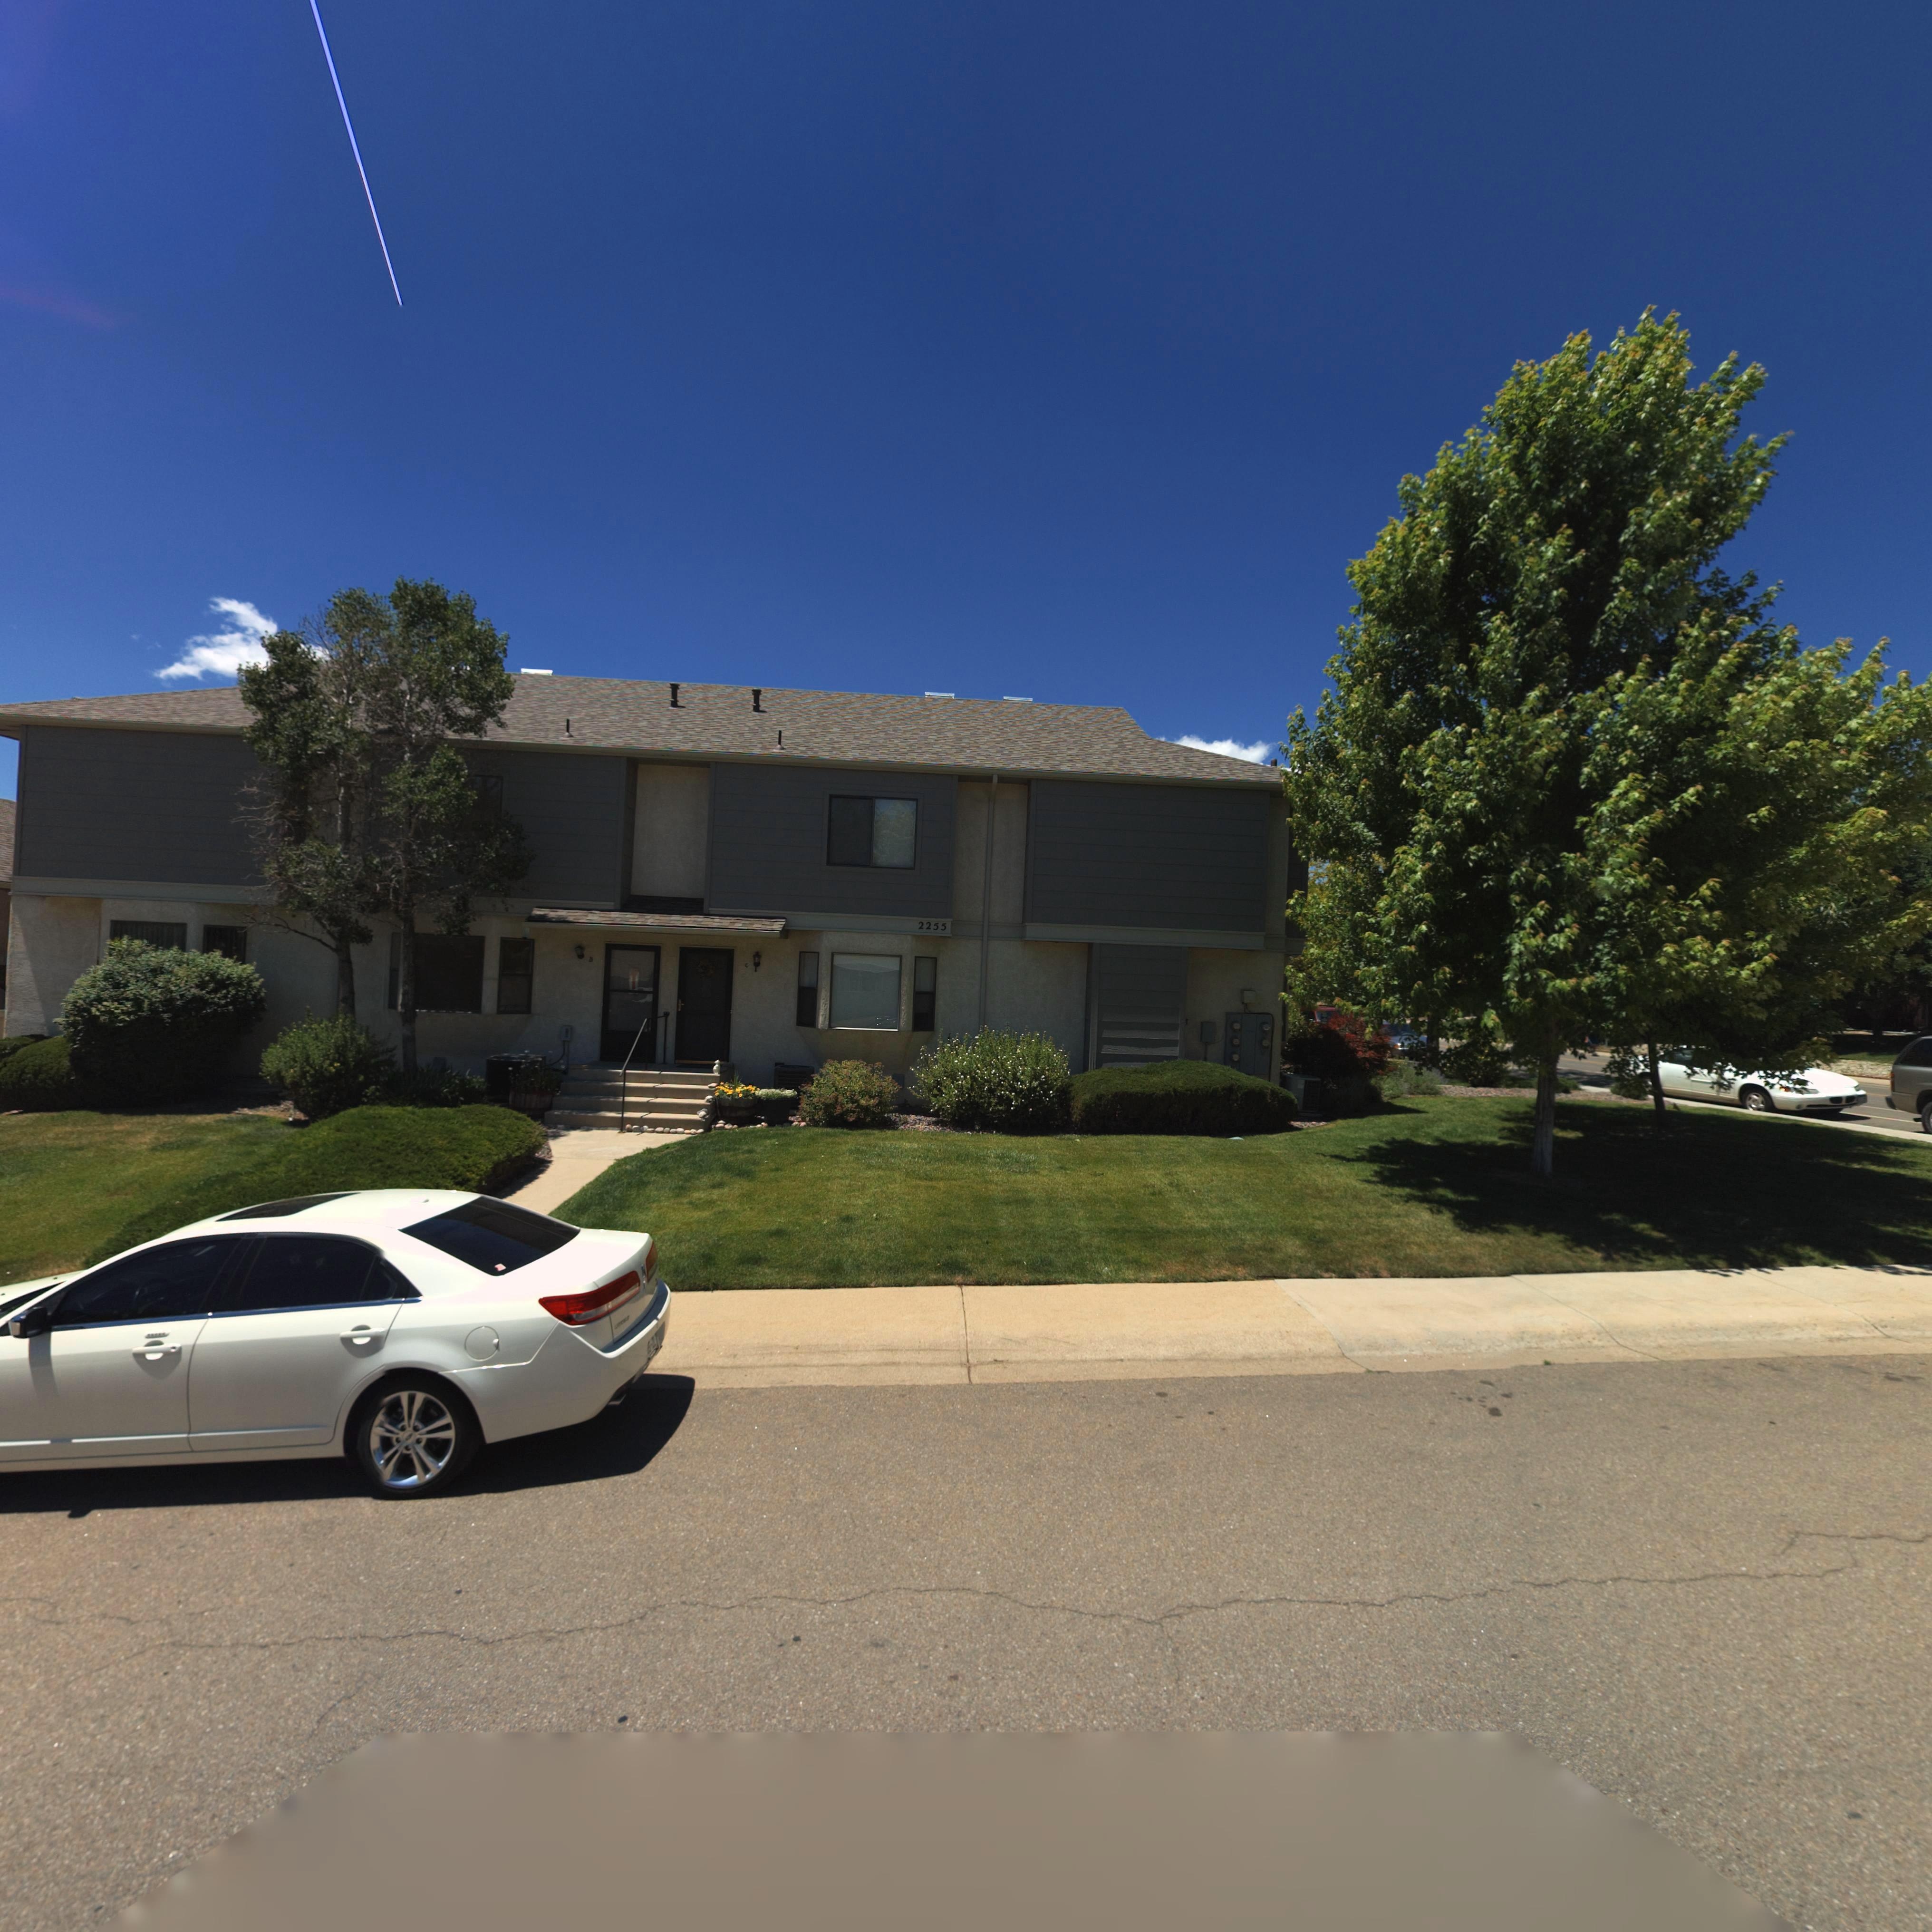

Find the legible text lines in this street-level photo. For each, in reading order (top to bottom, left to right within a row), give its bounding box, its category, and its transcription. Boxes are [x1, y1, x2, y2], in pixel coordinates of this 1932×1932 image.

[917, 921, 947, 931] StreetNumber: 2255